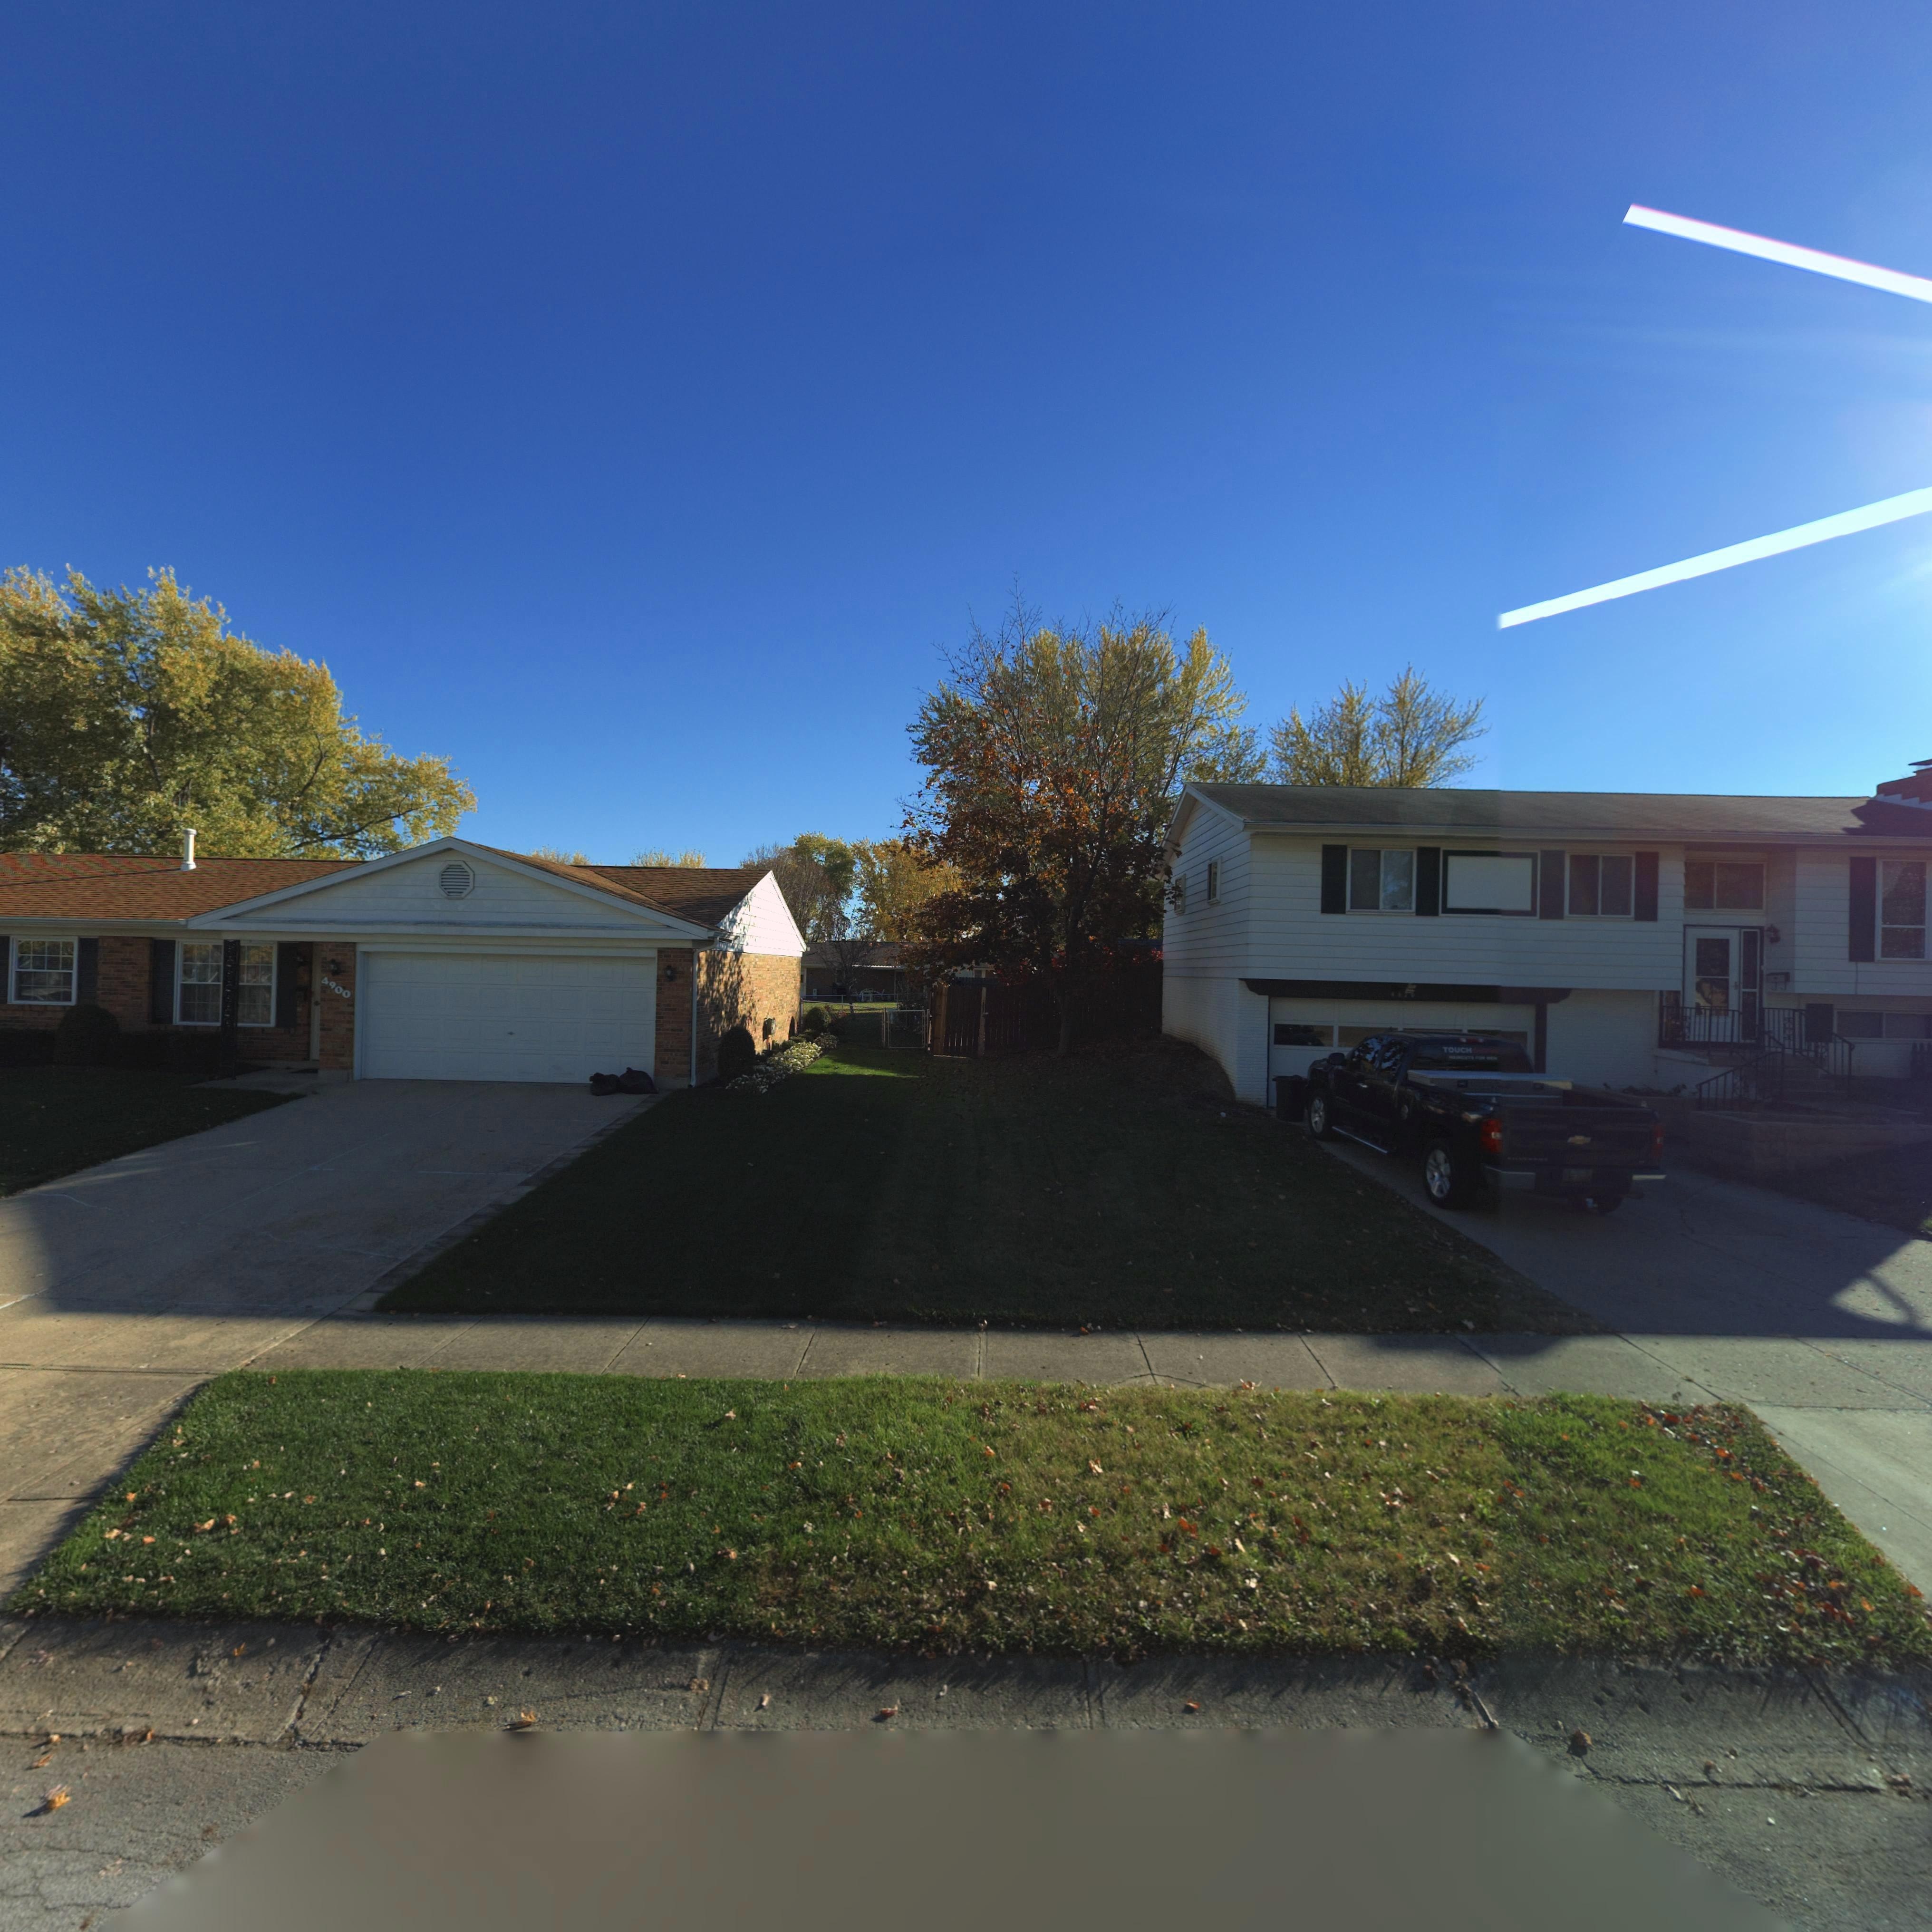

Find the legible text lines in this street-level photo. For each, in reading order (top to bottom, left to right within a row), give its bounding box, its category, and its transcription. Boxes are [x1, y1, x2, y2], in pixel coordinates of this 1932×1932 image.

[320, 976, 352, 999] StreetNumber: 4900
[1390, 991, 1415, 998] StreetNumber: 4920